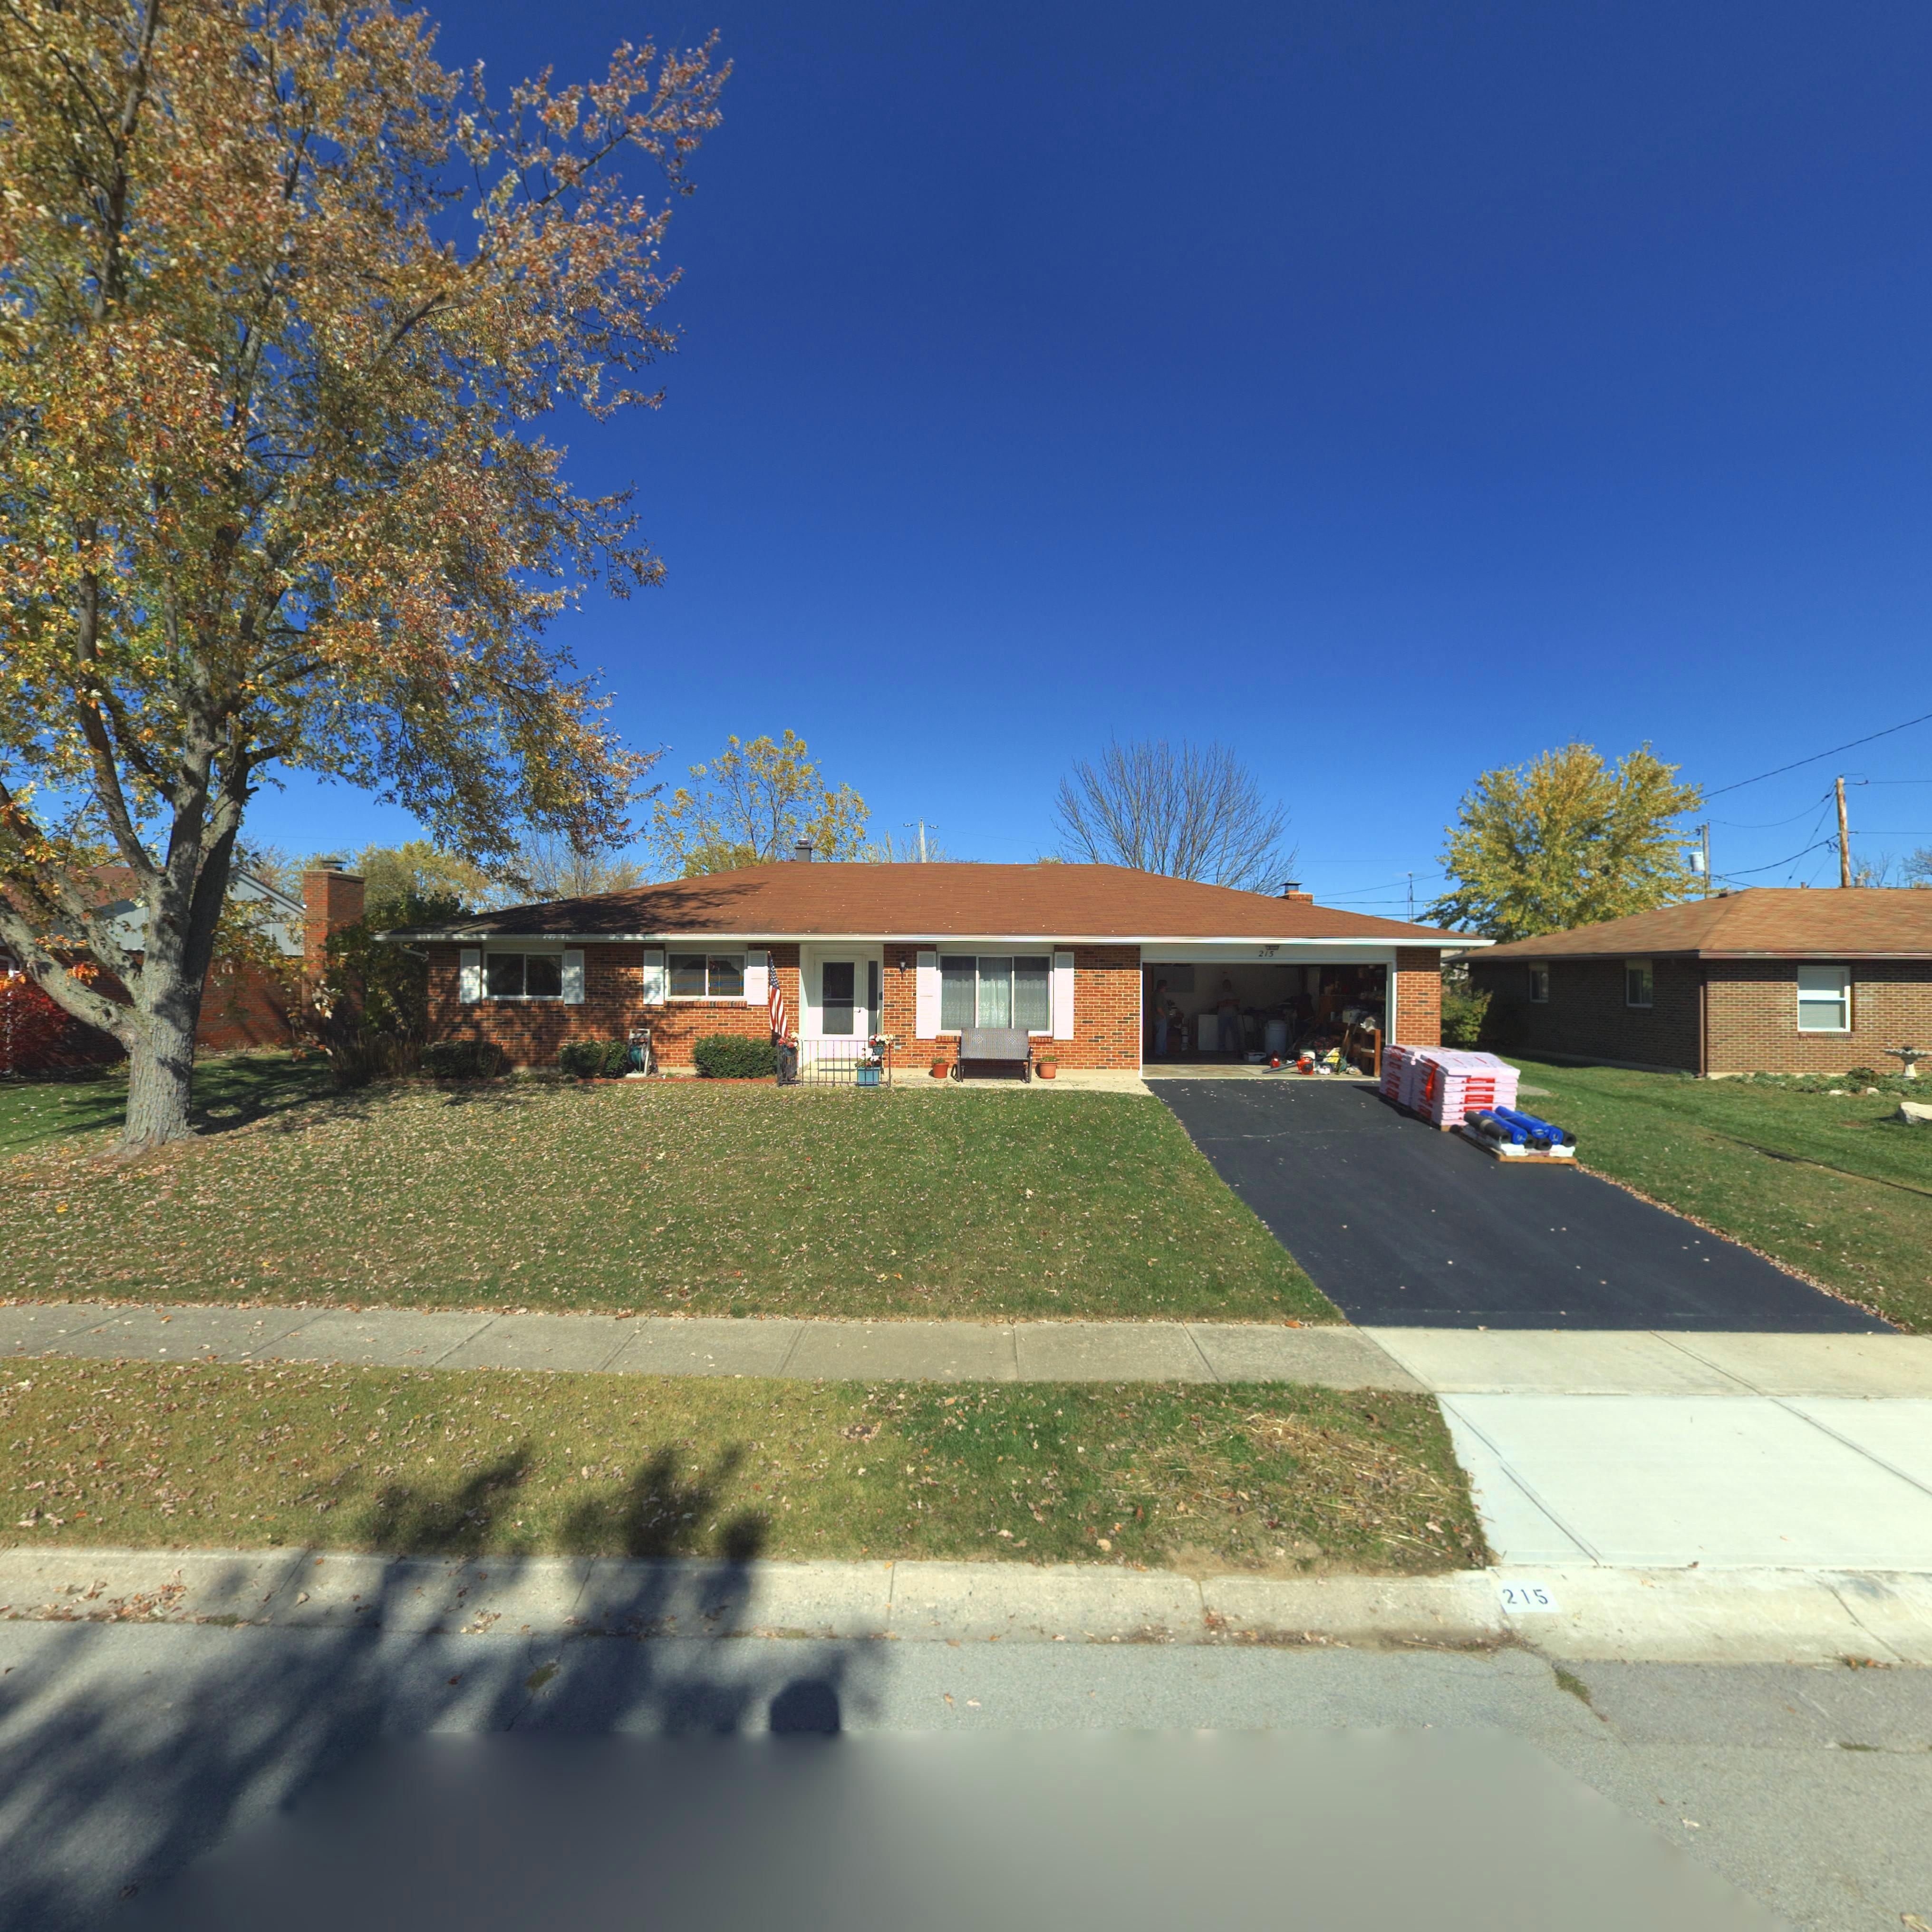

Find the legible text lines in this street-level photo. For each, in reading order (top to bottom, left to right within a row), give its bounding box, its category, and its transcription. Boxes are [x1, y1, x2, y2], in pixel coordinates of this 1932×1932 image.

[1258, 950, 1275, 957] StreetNumber: 215
[1502, 1588, 1550, 1604] StreetNumber: 215